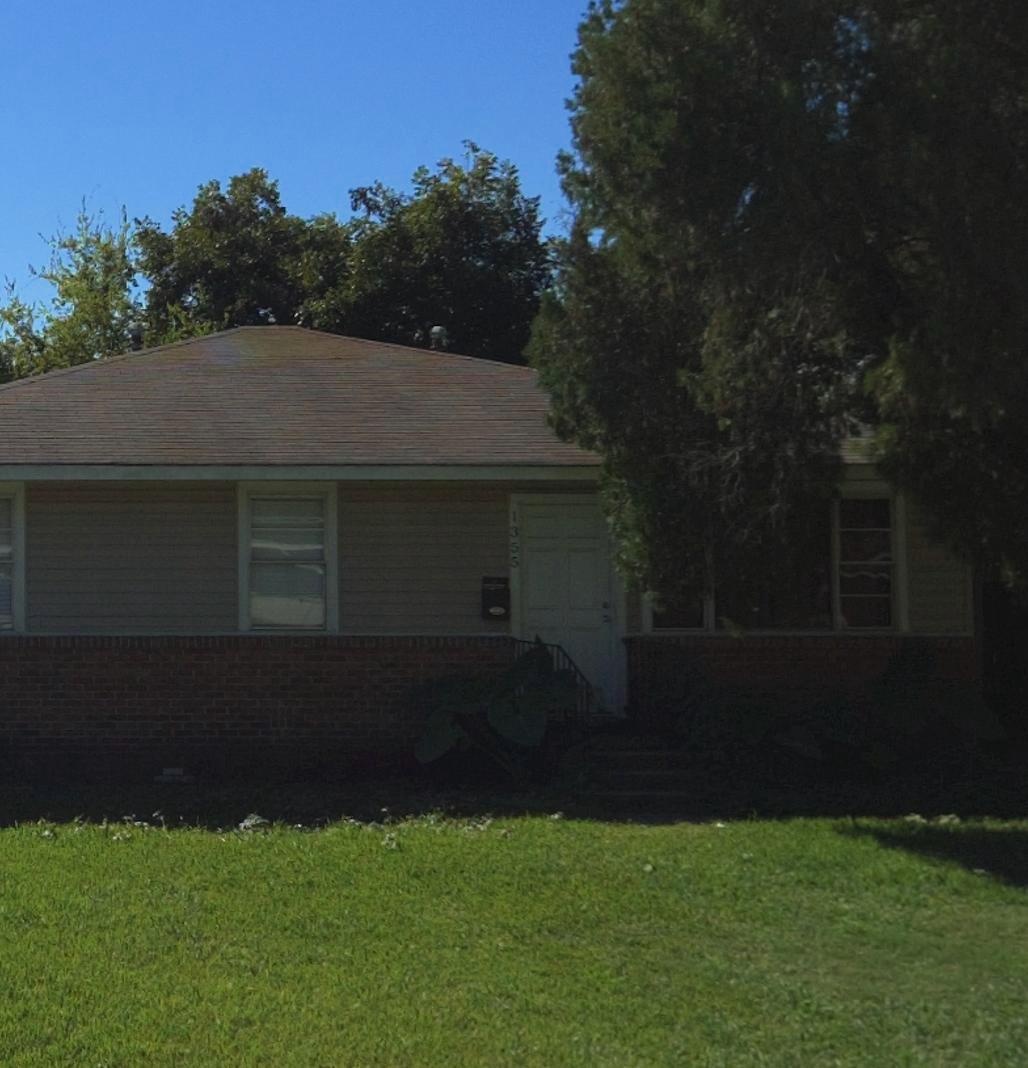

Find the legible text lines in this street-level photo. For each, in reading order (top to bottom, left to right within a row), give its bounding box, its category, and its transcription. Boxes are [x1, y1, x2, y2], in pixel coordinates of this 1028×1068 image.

[508, 510, 520, 568] StreetNumber: 1355